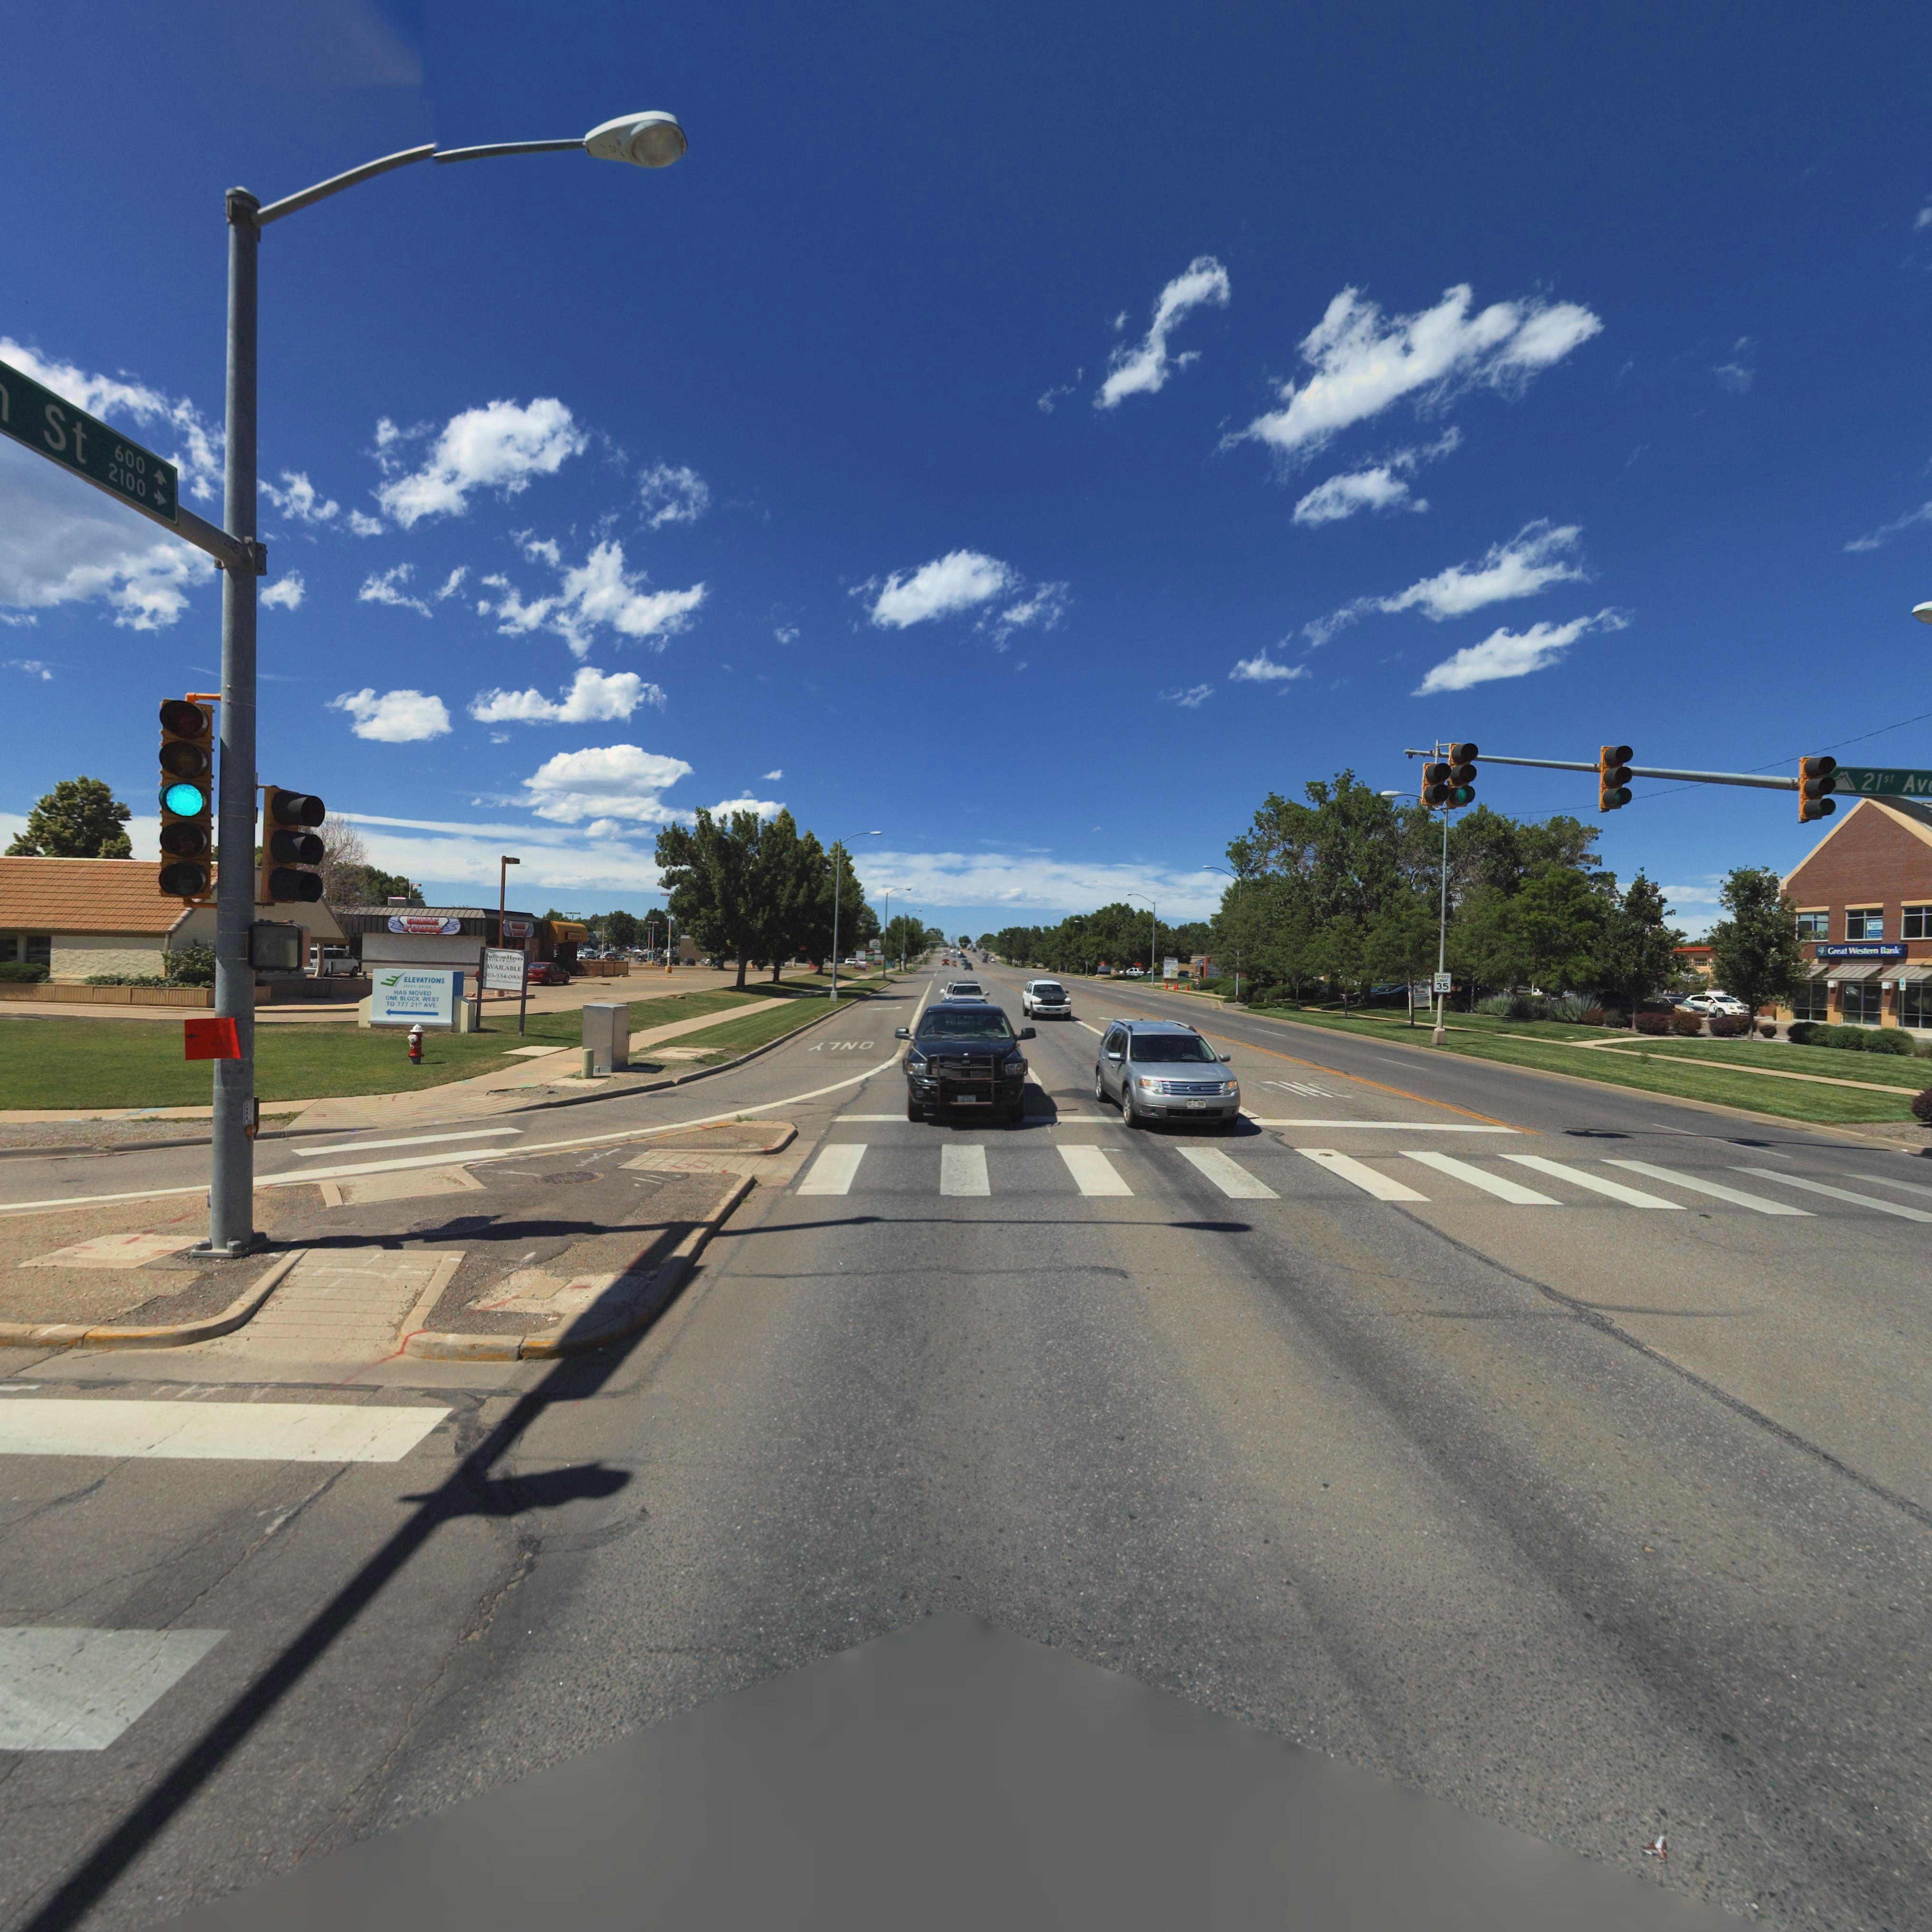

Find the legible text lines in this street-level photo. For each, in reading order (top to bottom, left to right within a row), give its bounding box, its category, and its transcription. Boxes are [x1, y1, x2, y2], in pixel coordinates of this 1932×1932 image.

[42, 403, 87, 465] StreetName: St
[114, 444, 145, 475] StreetNumberRange: 600
[107, 461, 167, 506] StreetNumberRange: 2100 ->
[1860, 772, 1928, 793] StreetName: 21st Av
[406, 916, 439, 925] BusinessName: GAME
[403, 923, 443, 933] BusinessName: FORCE
[509, 927, 527, 937] BusinessName: FO**E
[511, 920, 525, 929] BusinessName: G**E
[1827, 946, 1902, 955] BusinessName: Great Western Bank